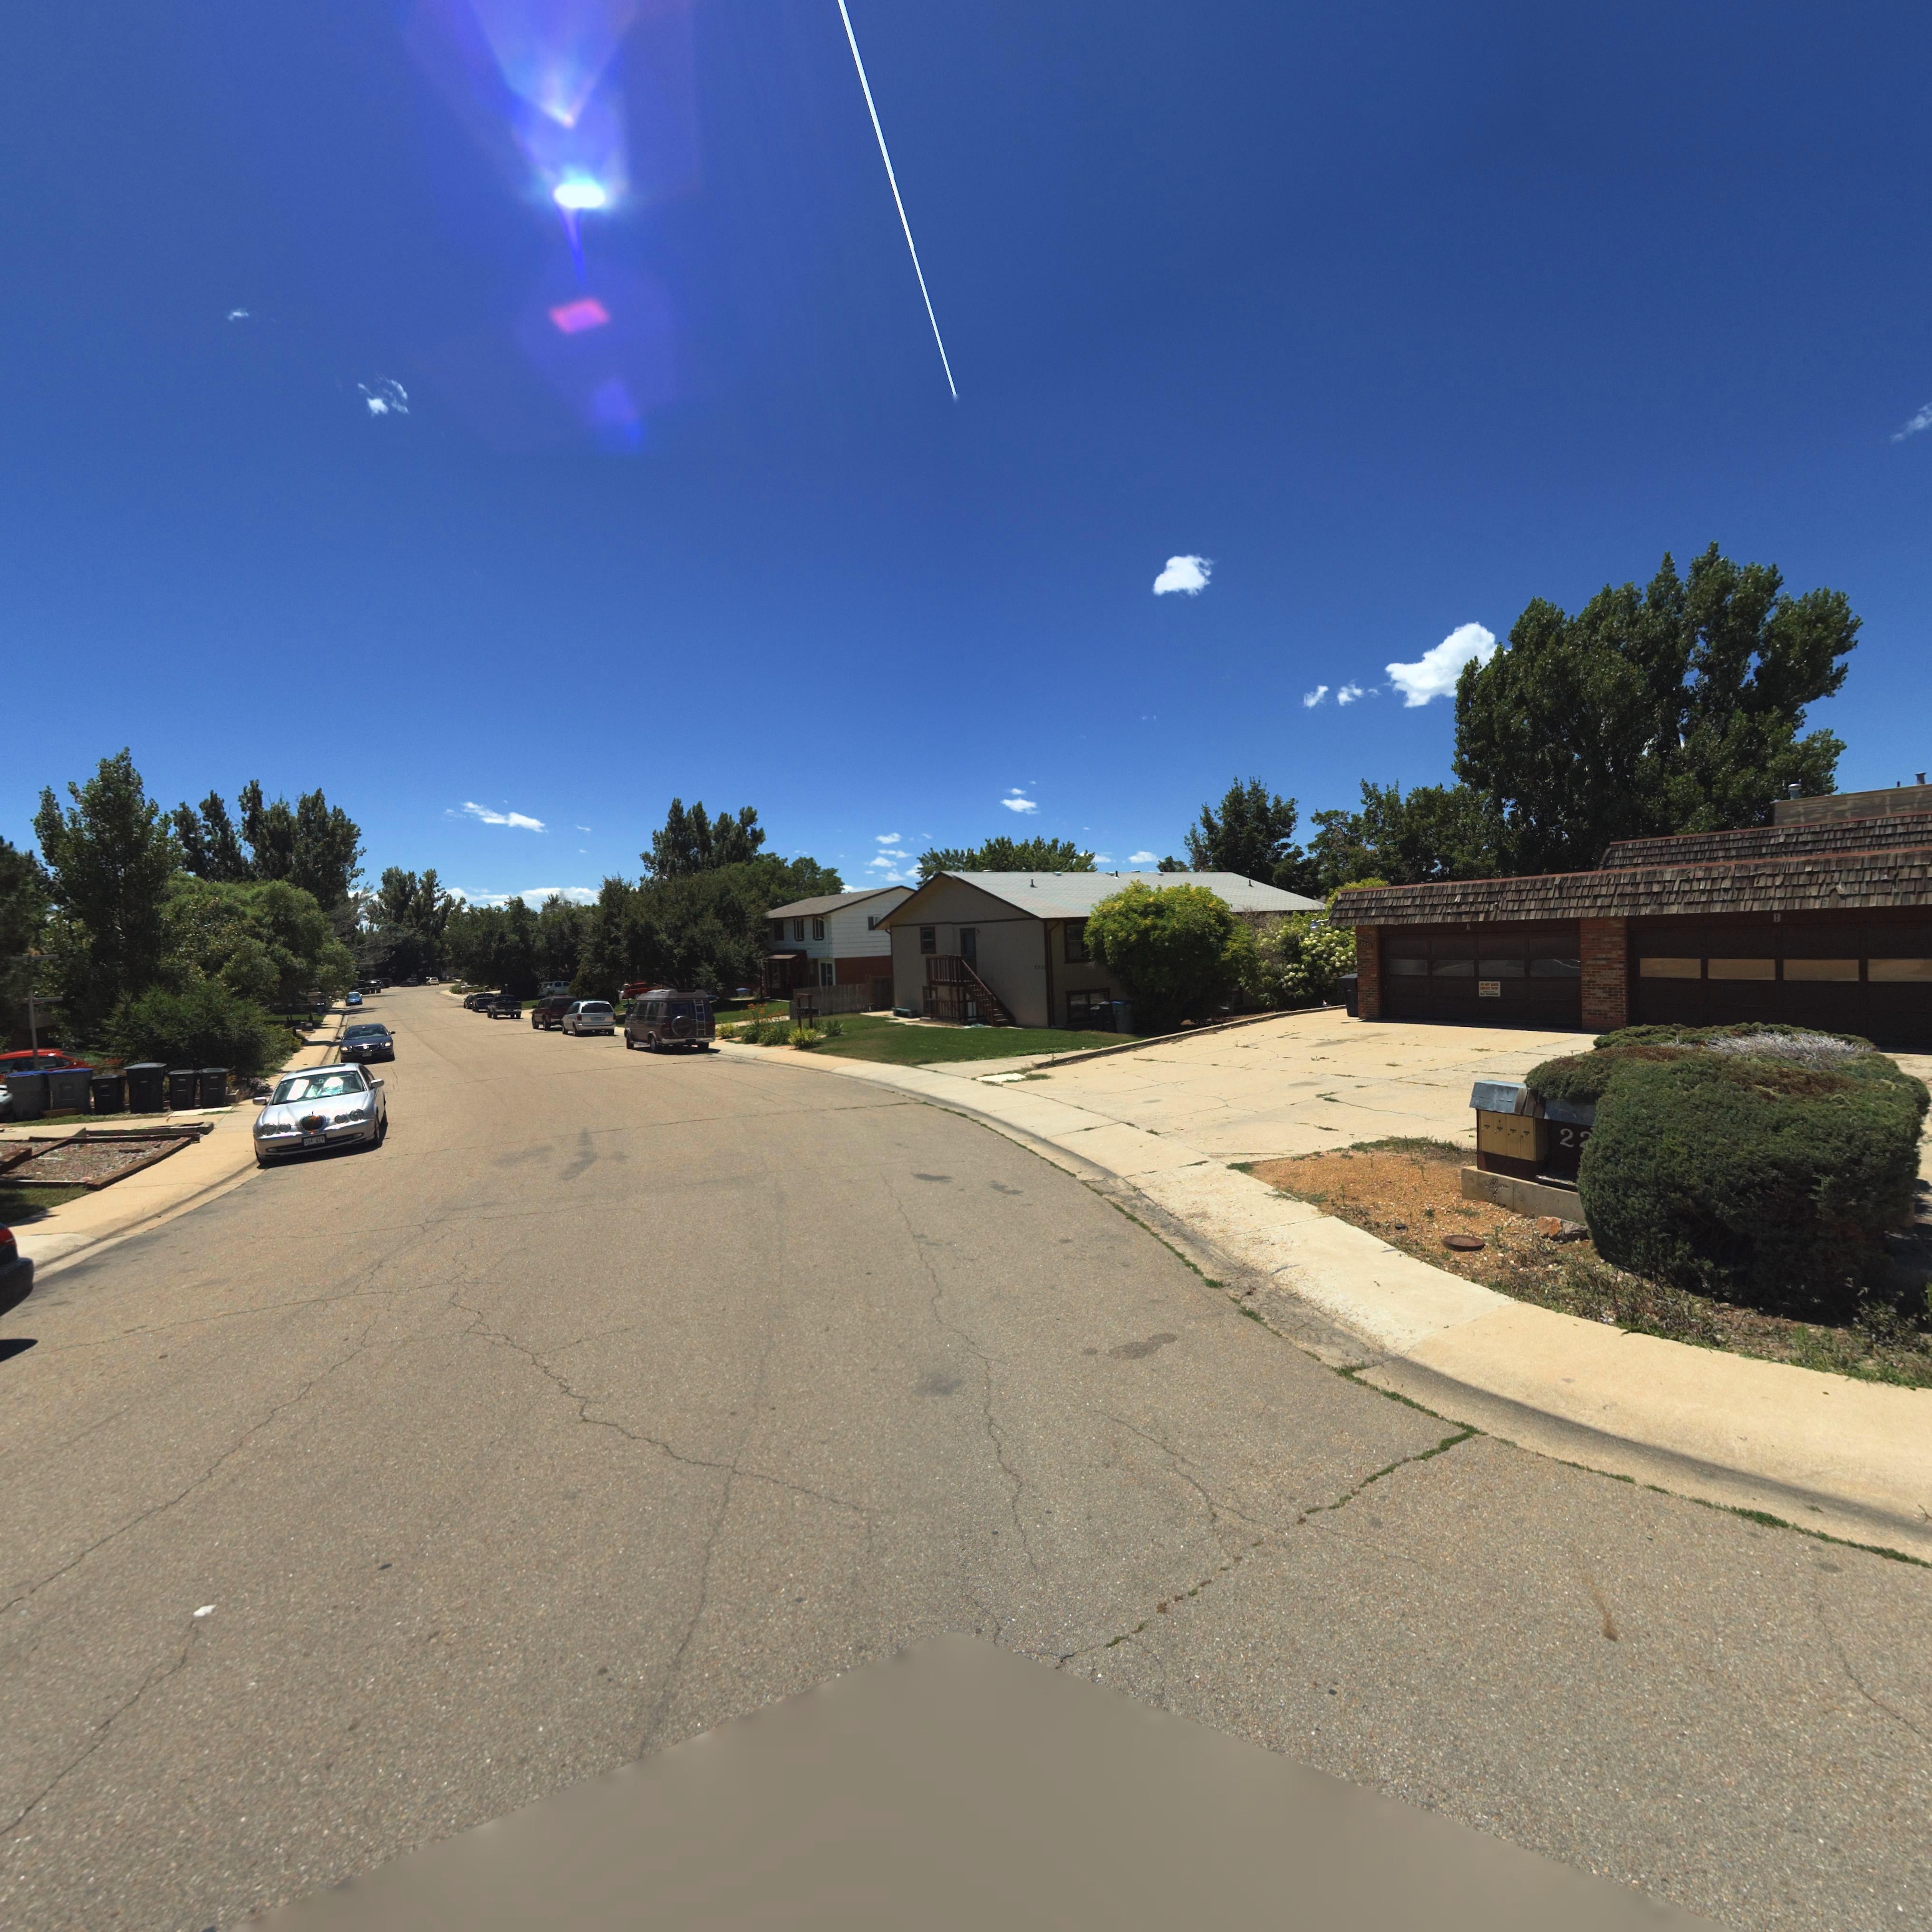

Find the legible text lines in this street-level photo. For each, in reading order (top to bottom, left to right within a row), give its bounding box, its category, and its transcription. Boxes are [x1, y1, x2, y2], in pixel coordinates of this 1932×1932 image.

[1773, 913, 1781, 923] StreetNumber: B
[1465, 923, 1471, 931] StreetNumber: A
[1360, 941, 1371, 948] StreetNumber: 2231
[1034, 965, 1045, 970] StreetNumber: 222*
[1559, 1128, 1592, 1149] StreetNumber: 2*